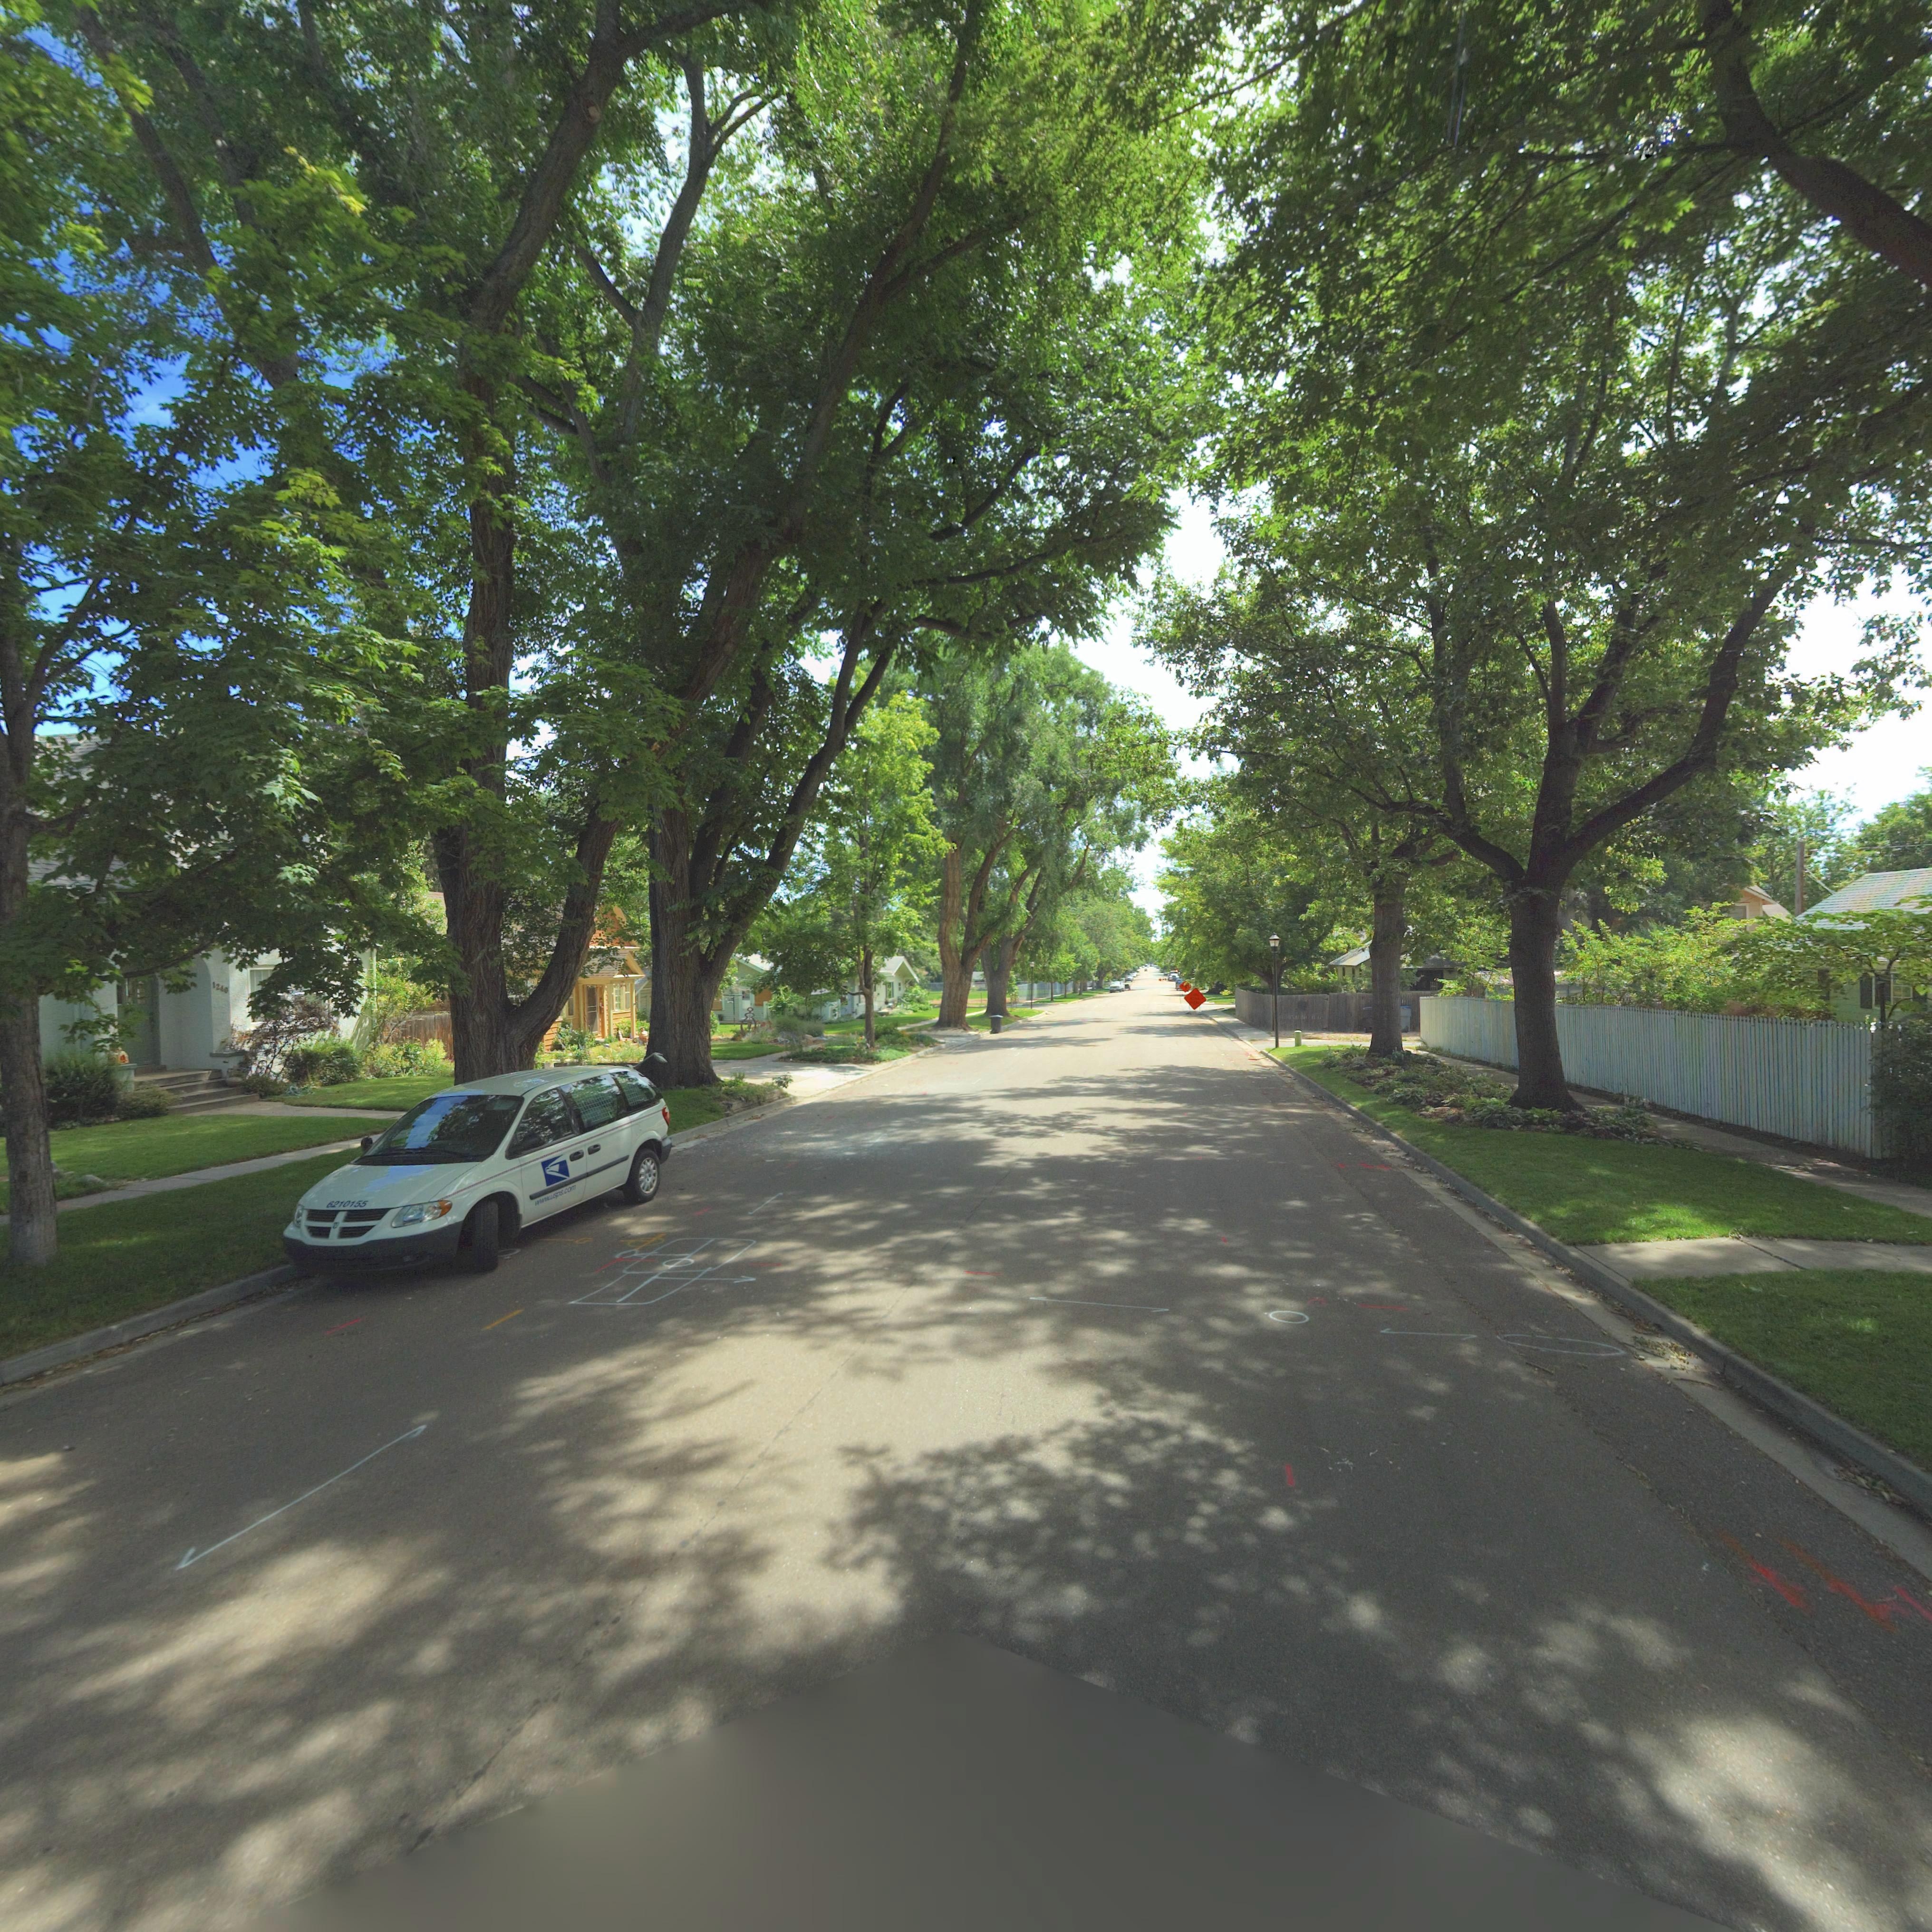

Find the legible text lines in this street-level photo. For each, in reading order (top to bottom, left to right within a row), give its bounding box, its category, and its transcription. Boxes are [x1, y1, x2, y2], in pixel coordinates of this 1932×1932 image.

[213, 981, 229, 994] StreetNumber: 1240